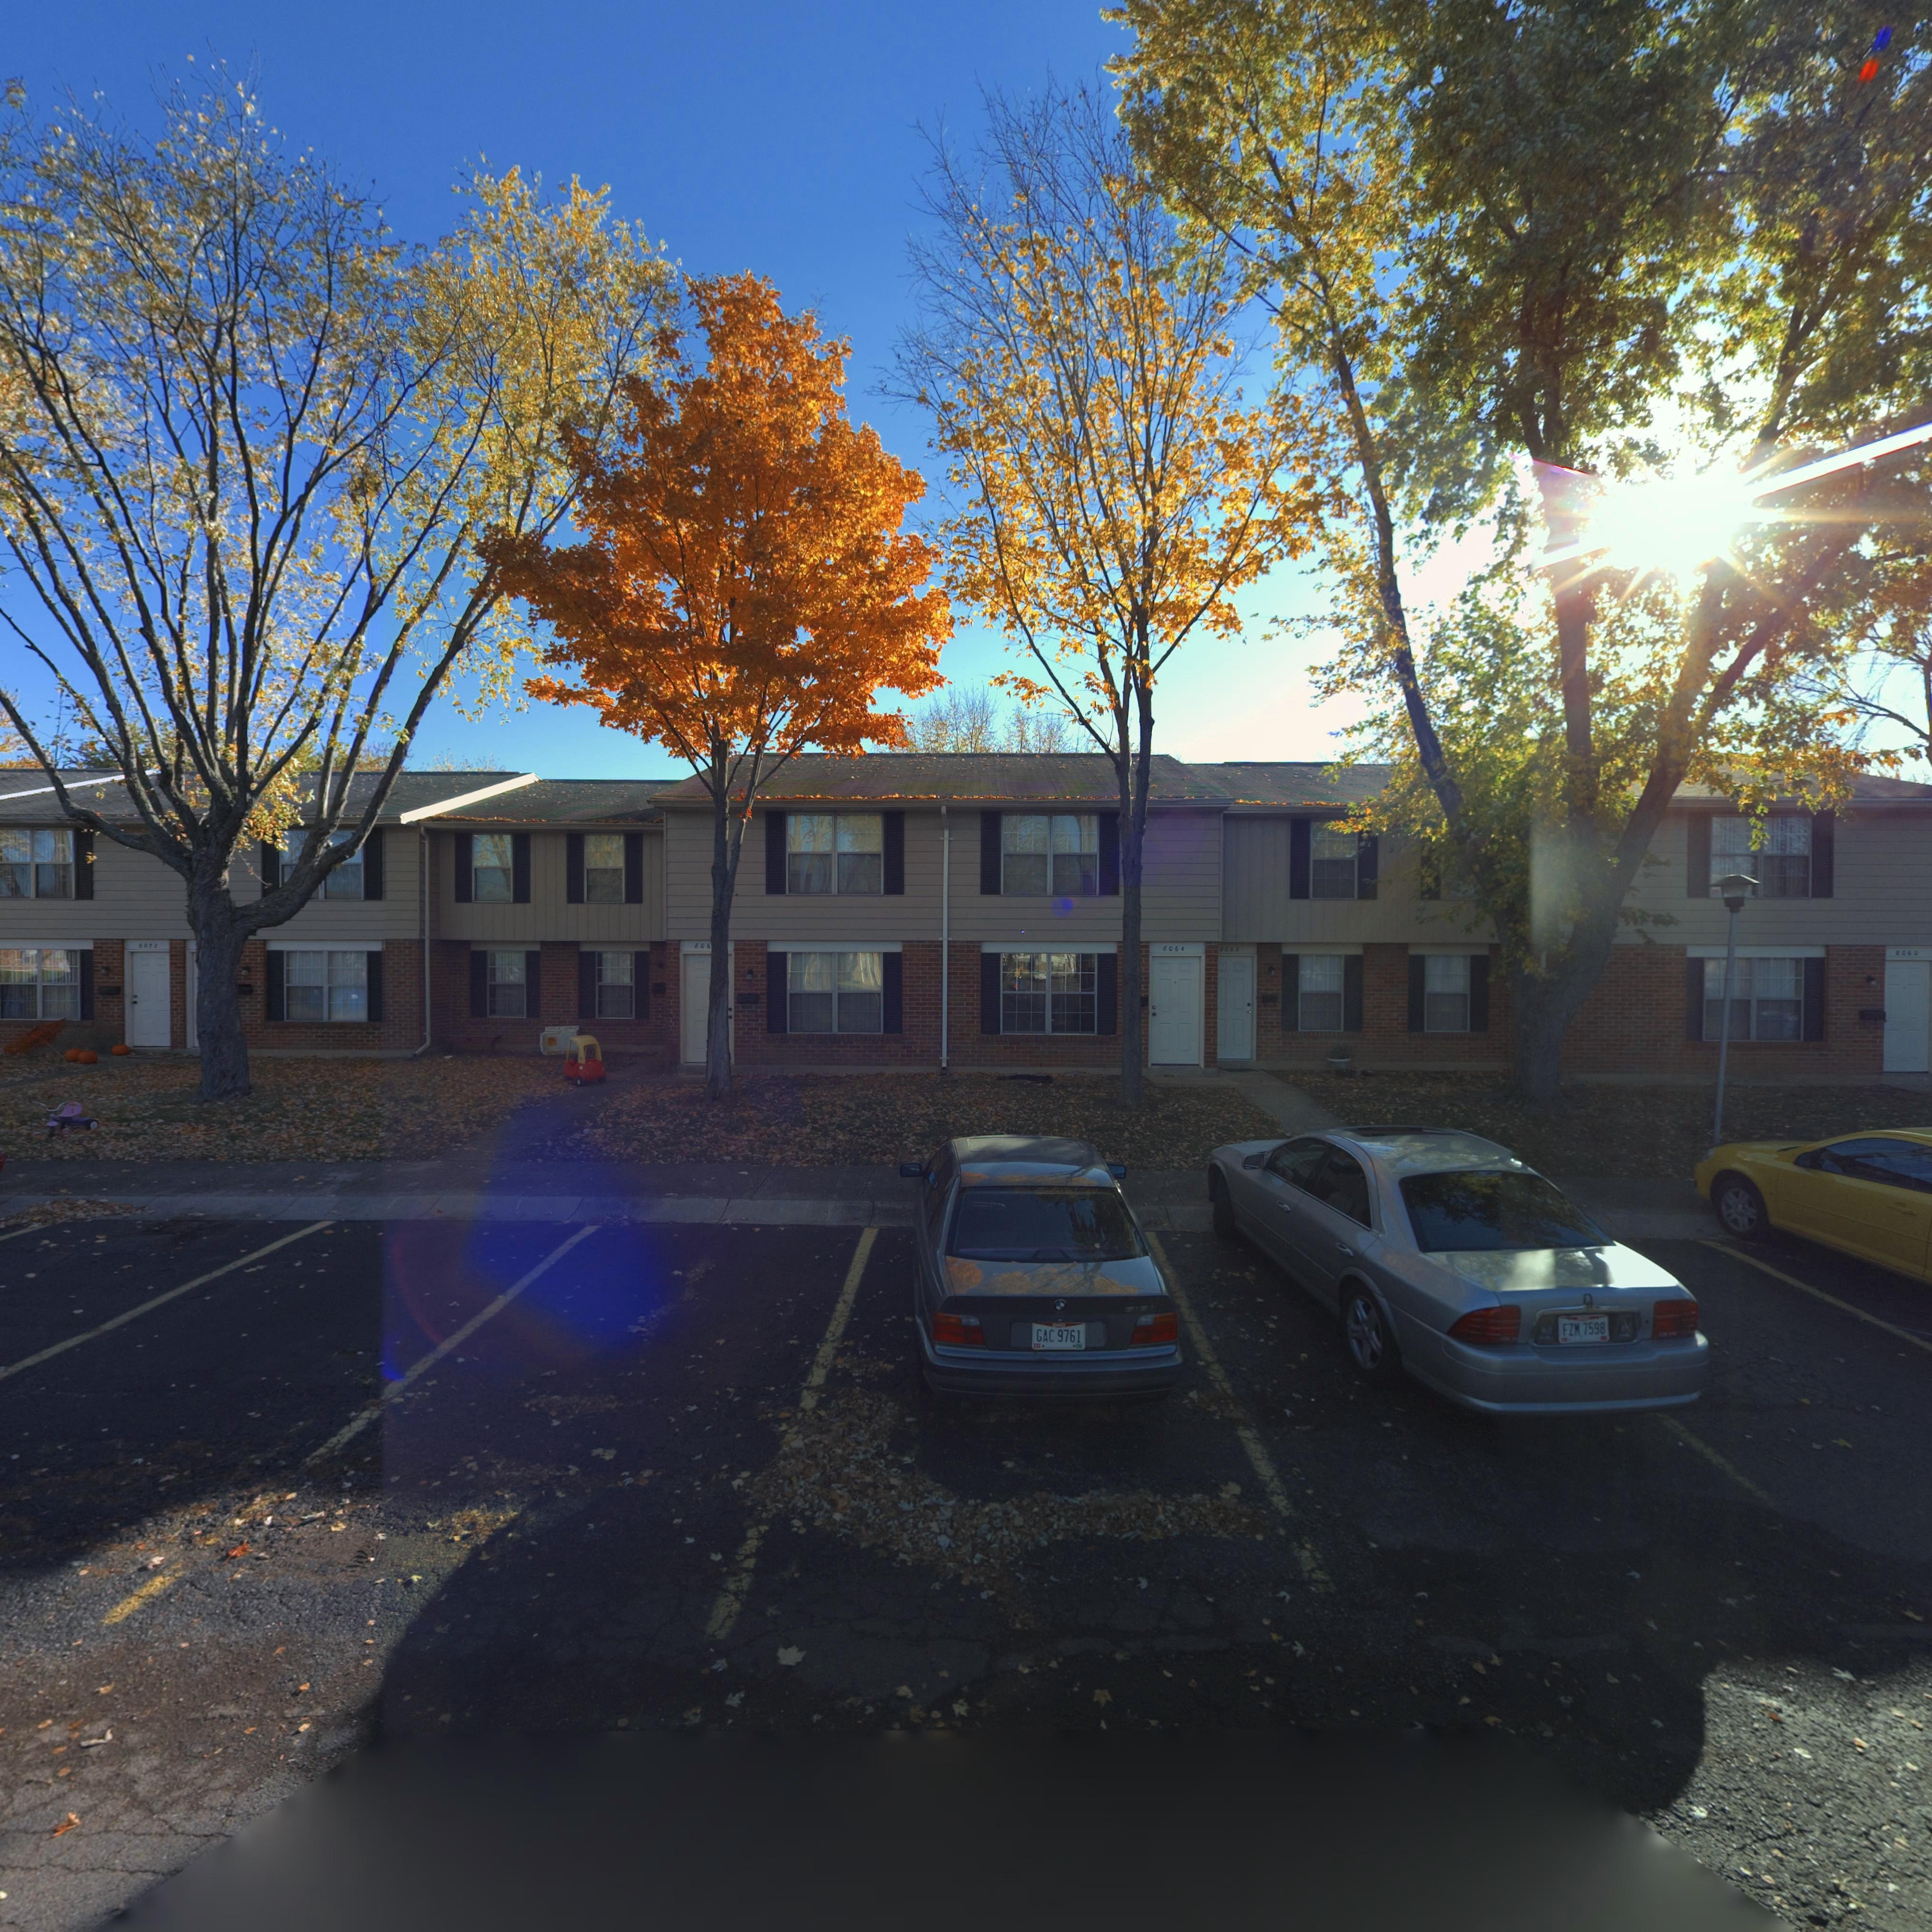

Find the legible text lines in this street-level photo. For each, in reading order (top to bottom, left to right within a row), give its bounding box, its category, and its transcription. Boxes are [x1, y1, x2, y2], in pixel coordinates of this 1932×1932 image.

[138, 943, 157, 949] StreetNumber: 8072
[694, 942, 711, 949] StreetNumber: 806
[1162, 945, 1185, 952] StreetNumber: 8064
[1219, 946, 1239, 952] StreetNumber: 8062
[1895, 949, 1919, 956] StreetNumber: 8060